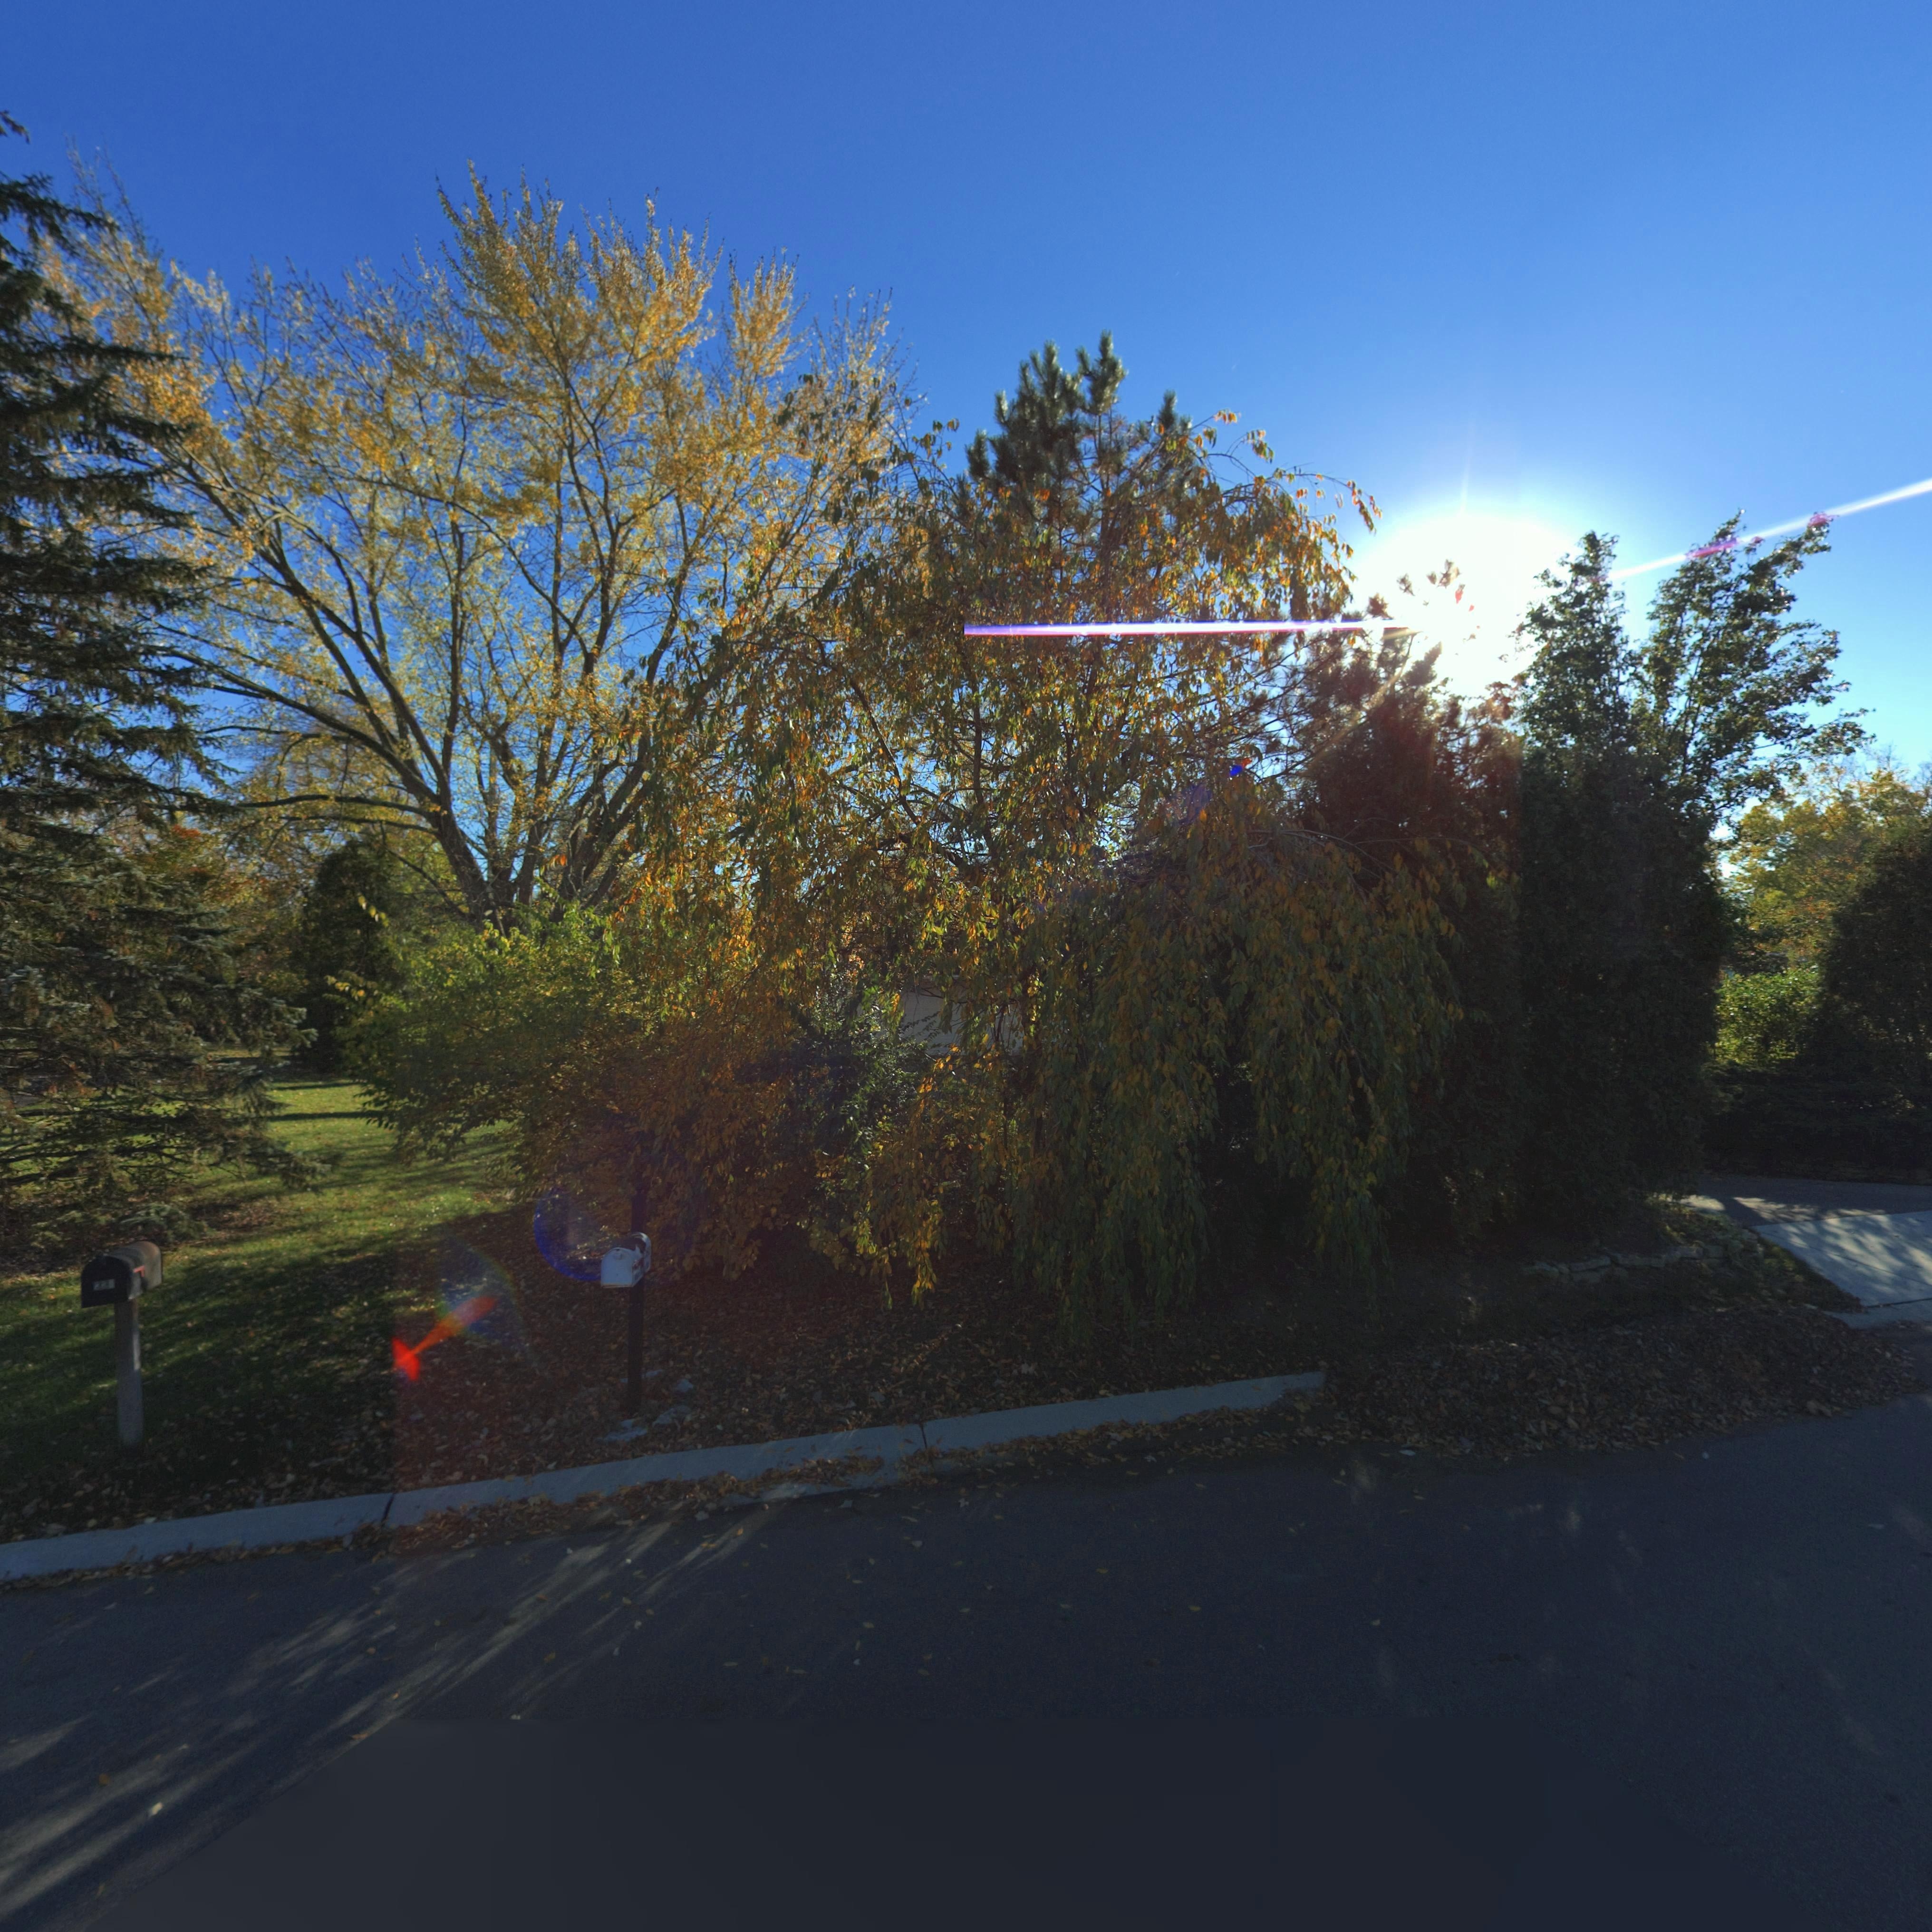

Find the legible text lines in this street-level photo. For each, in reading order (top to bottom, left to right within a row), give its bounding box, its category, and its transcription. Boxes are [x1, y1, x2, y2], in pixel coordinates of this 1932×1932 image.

[92, 1277, 116, 1293] StreetNumber: 88*